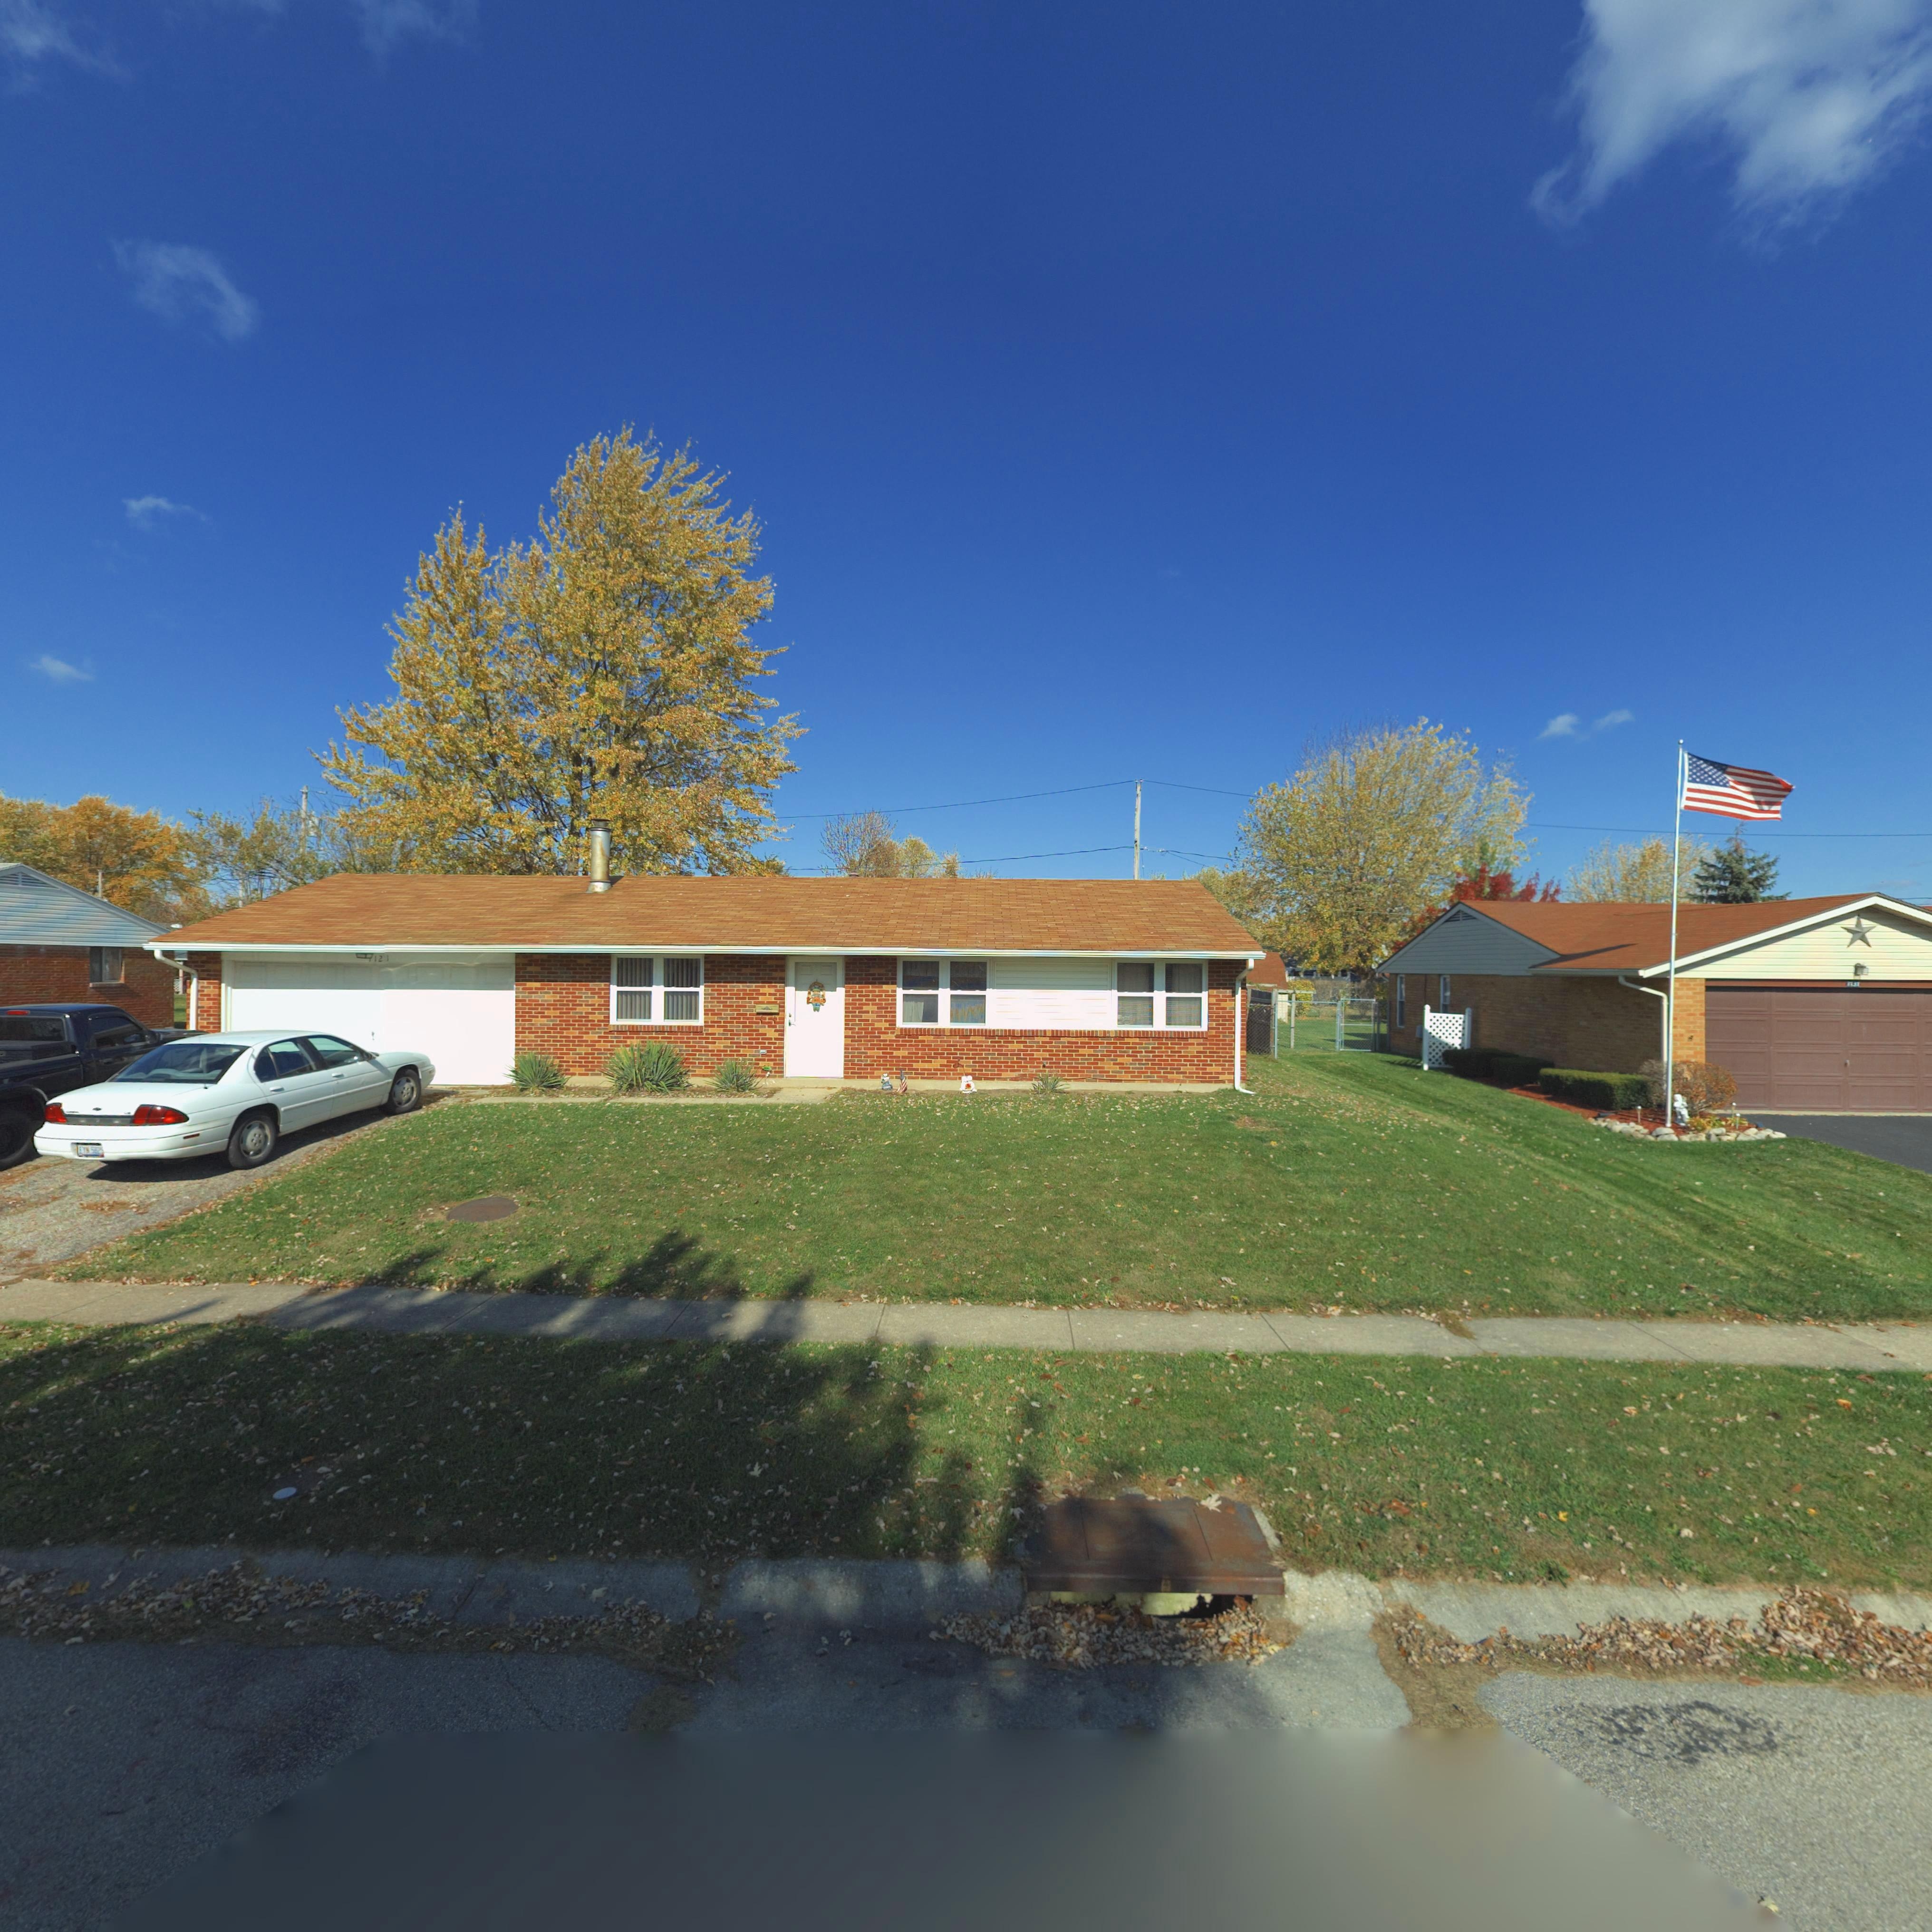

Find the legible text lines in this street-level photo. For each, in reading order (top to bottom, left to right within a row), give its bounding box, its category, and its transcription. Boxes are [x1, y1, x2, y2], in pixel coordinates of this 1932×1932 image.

[374, 954, 391, 964] StreetNumber: 121